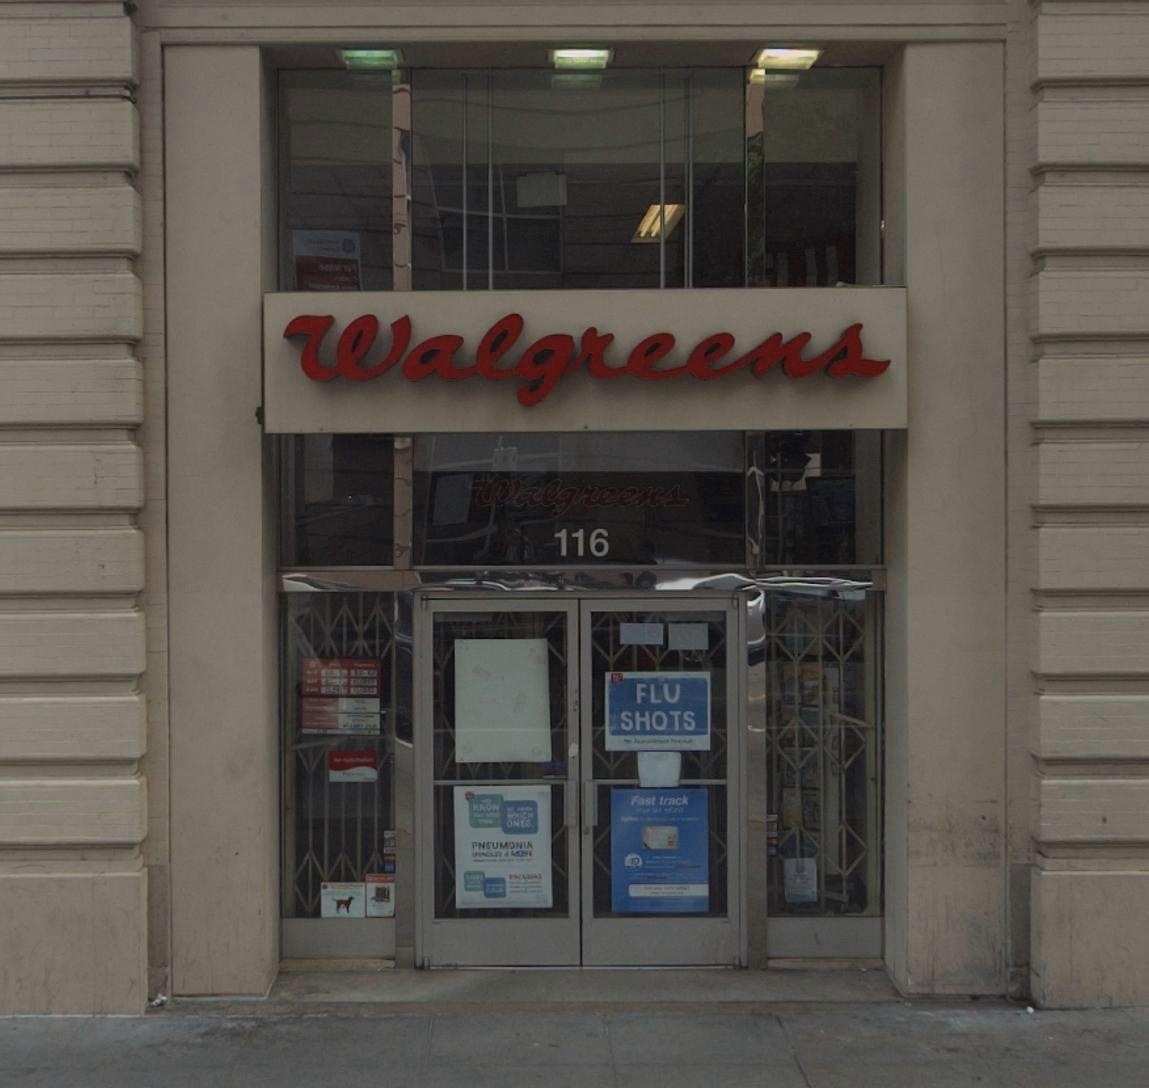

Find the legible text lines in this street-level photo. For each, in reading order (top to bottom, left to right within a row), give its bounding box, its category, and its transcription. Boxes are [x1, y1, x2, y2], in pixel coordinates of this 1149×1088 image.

[274, 302, 900, 415] BusinessName: Walgreens
[466, 474, 694, 521] BusinessName: Walgreens
[552, 525, 611, 560] StreetNumber: 116
[632, 678, 684, 708] None: FLU
[618, 708, 699, 734] None: SHOTS
[628, 792, 692, 809] None: Fast track
[469, 838, 538, 853] None: PNEUMONIA